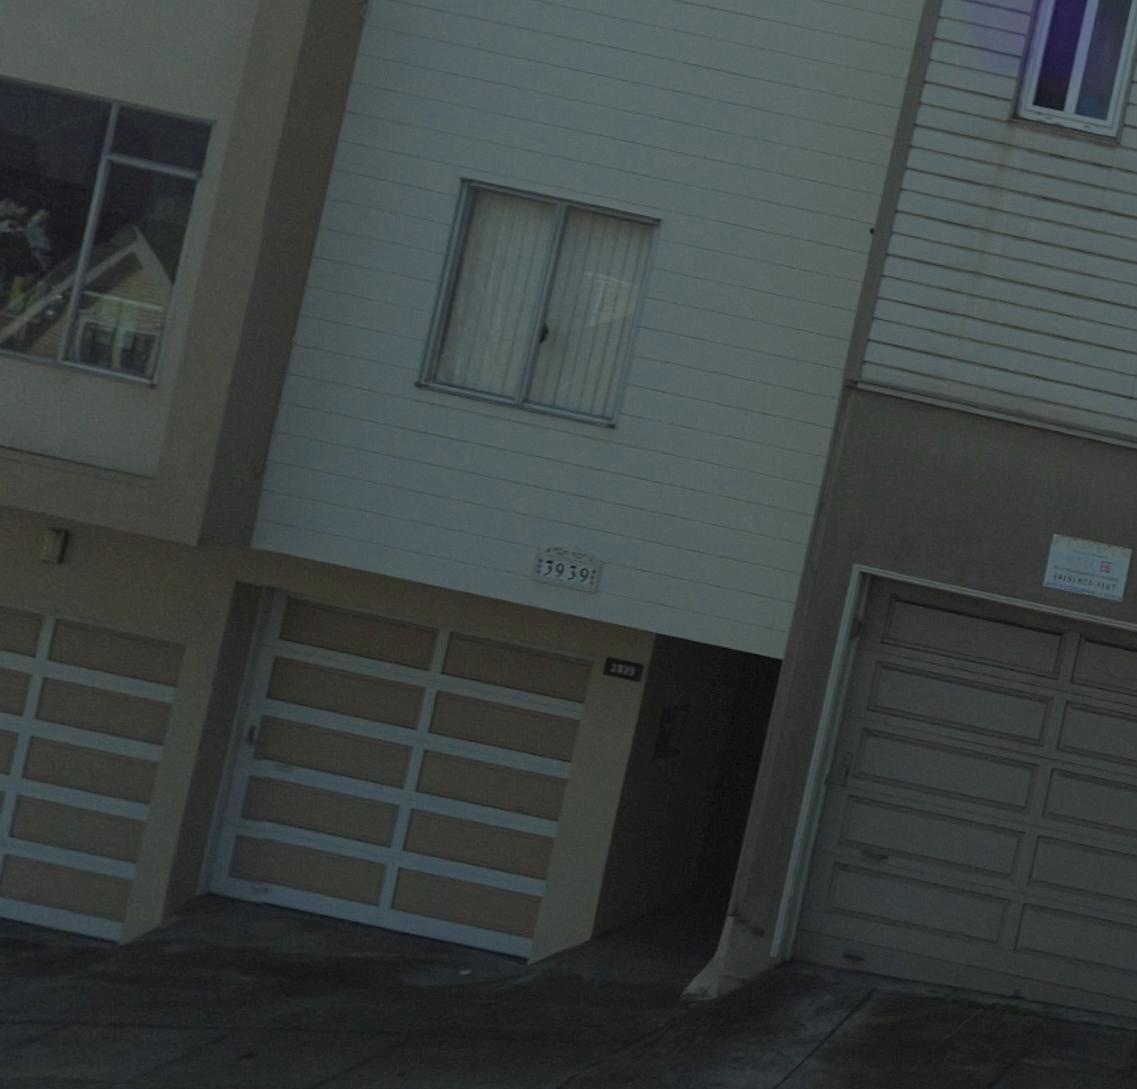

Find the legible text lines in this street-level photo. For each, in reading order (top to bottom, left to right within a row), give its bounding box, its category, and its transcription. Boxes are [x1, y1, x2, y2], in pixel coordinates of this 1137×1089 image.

[542, 558, 596, 586] StreetNumber: 3939
[1051, 571, 1118, 593] None: (415) 821-***7
[608, 662, 635, 678] StreetNumber: ***9